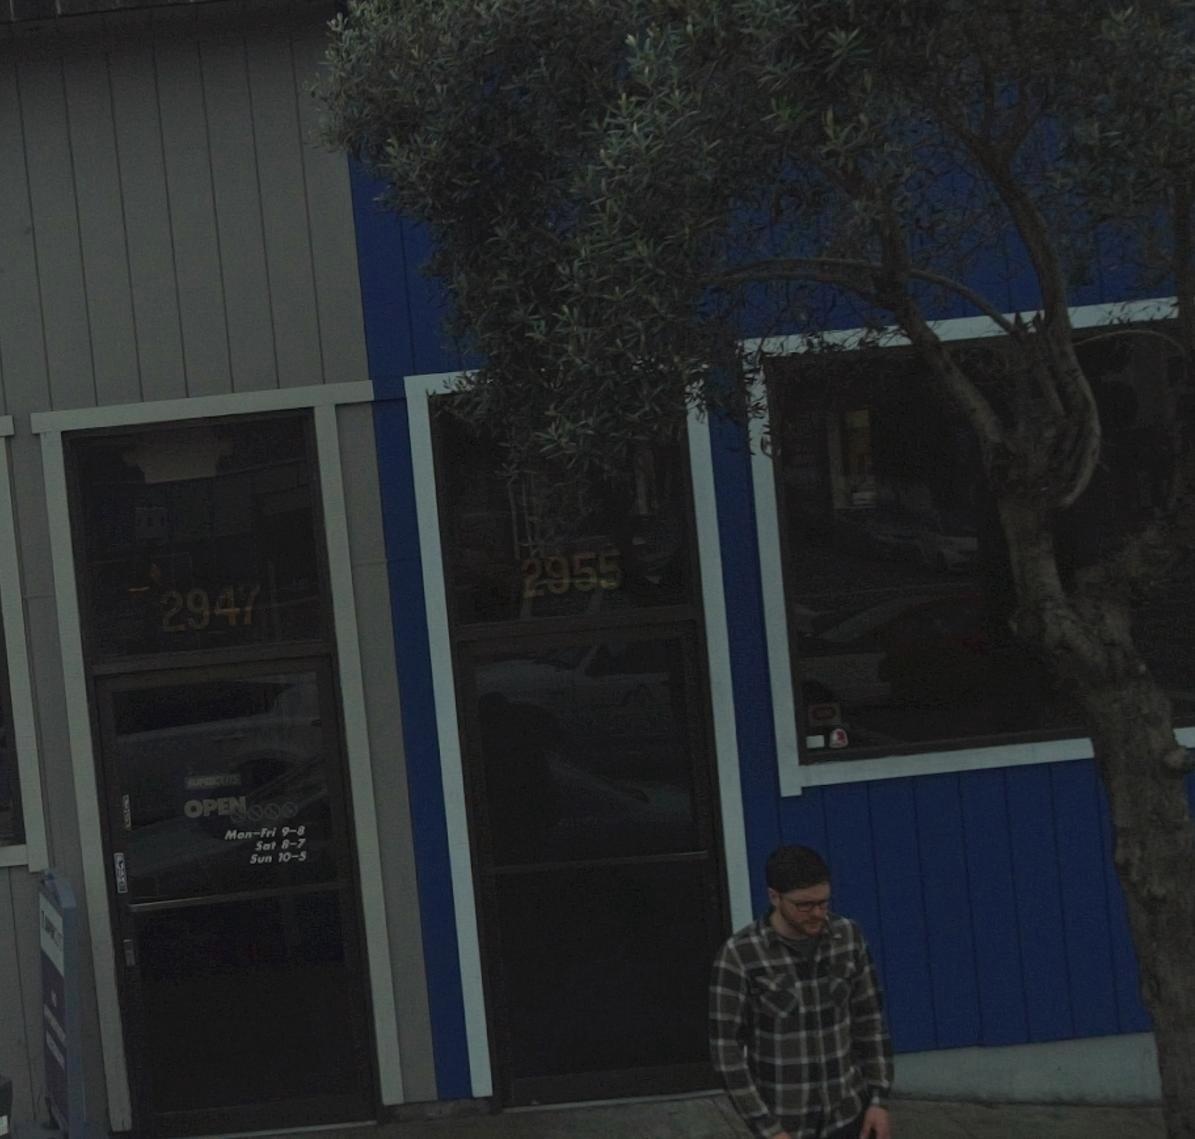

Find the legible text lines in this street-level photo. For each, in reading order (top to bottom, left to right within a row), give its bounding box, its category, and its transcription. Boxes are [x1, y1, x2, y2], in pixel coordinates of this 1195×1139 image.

[516, 544, 627, 601] StreetNumber: 2955
[159, 580, 262, 634] StreetNumber: 2947
[186, 772, 240, 789] BusinessName: SUPERCUTS
[182, 792, 248, 822] None: OPEN
[114, 853, 127, 885] None: PUSH
[222, 824, 307, 841] None: Mon-Fri 9-8
[247, 849, 310, 866] None: Sun 10-5
[252, 837, 309, 852] None: Sat 8-7